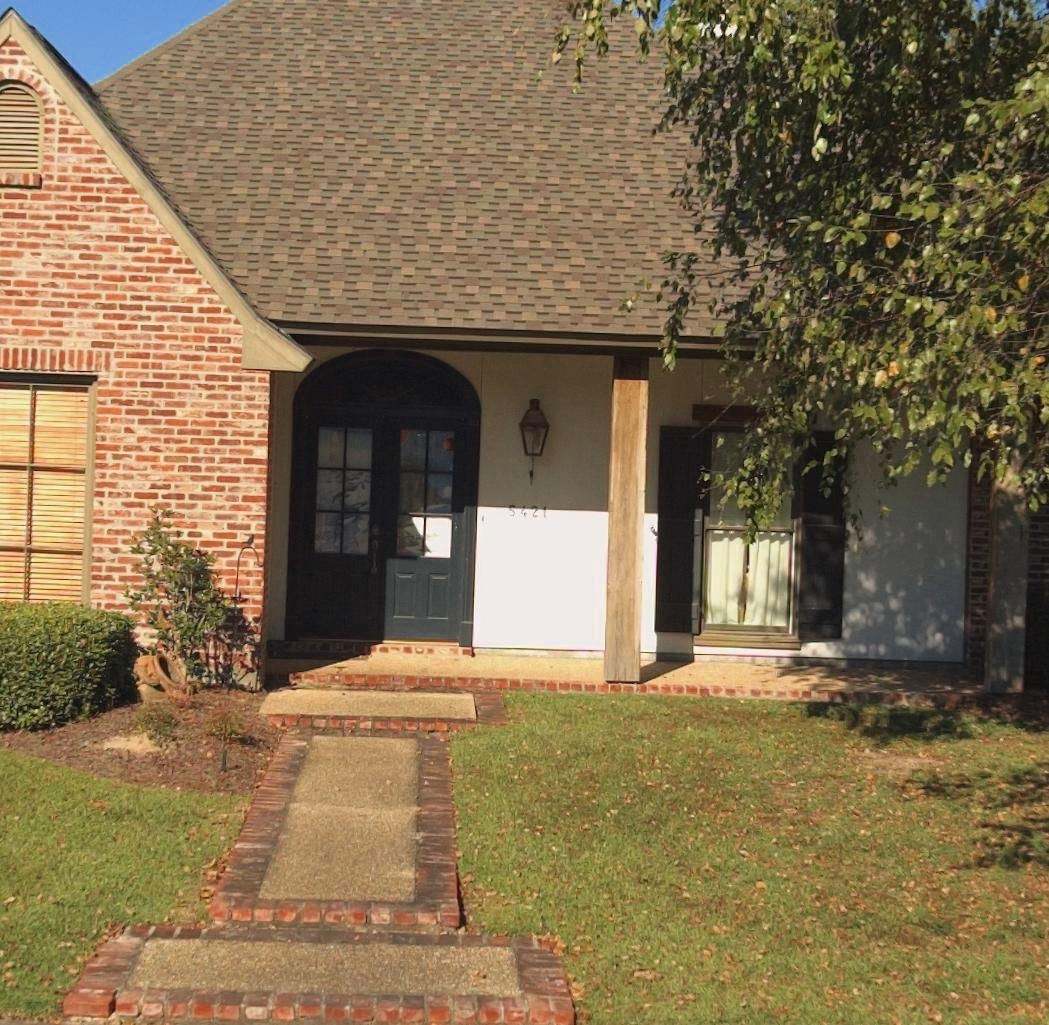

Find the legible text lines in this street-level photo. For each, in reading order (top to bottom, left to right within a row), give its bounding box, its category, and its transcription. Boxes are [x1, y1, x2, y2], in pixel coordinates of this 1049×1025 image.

[506, 502, 549, 521] StreetNumber: 5421